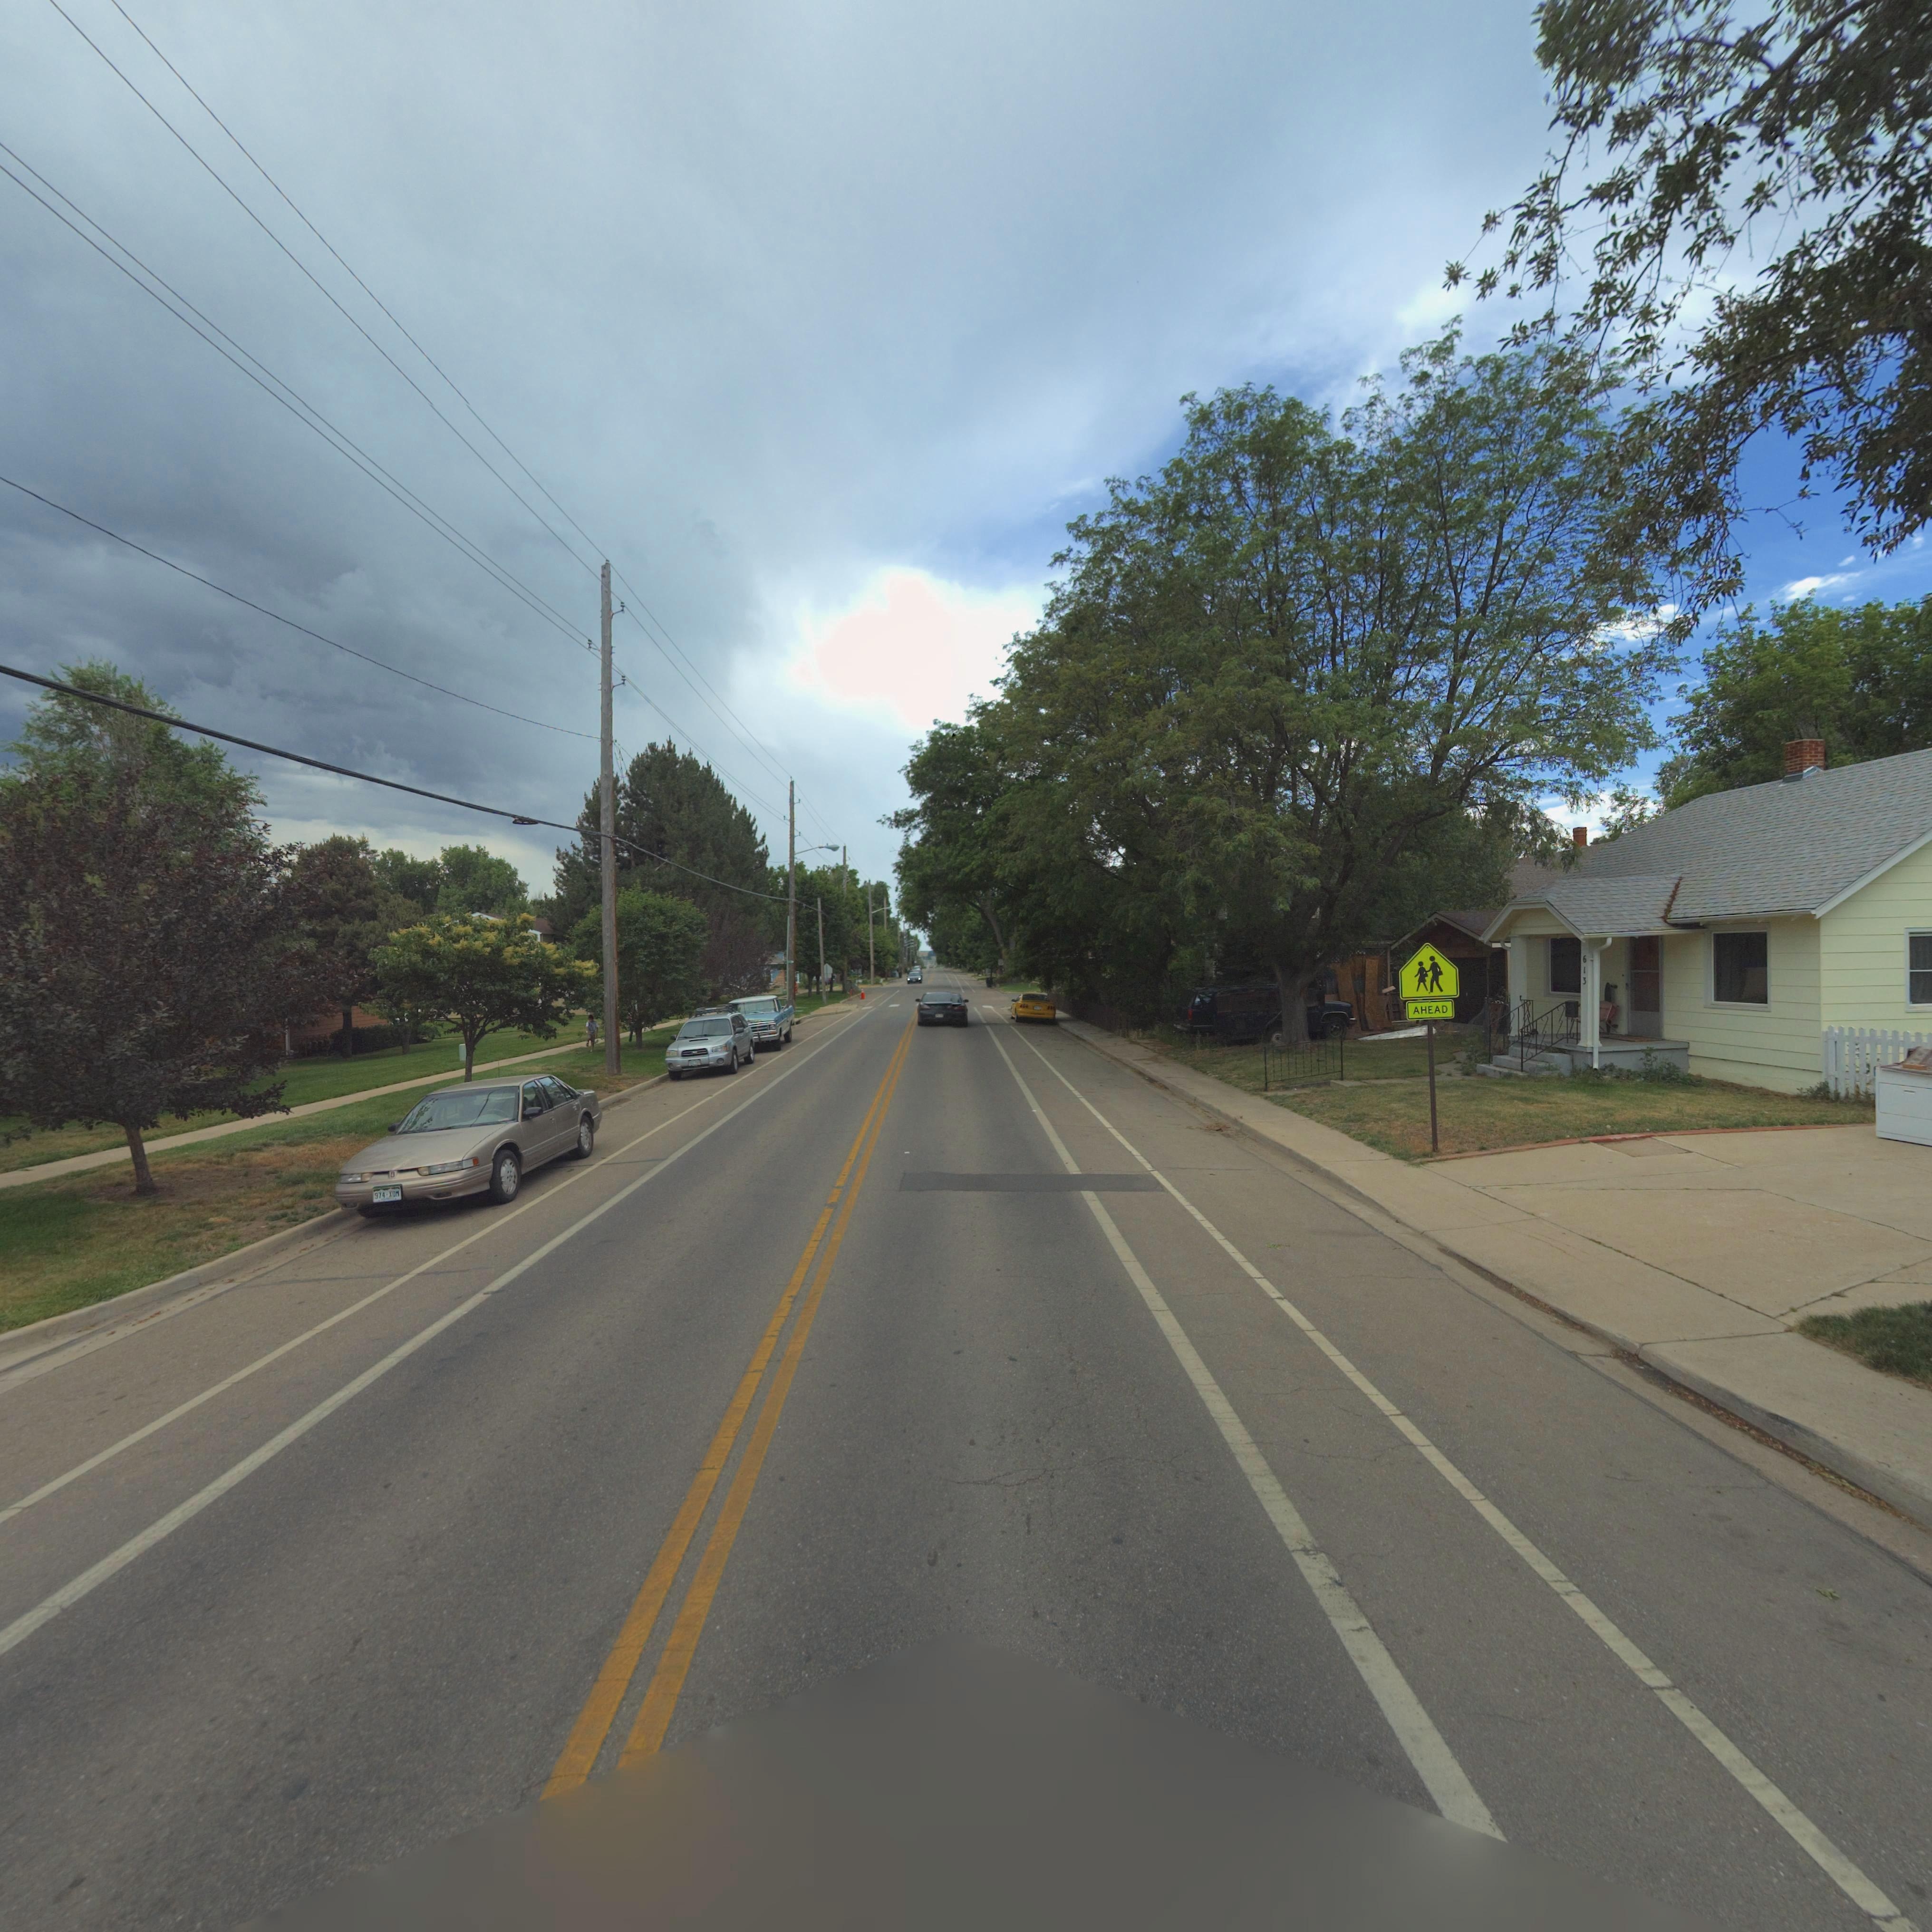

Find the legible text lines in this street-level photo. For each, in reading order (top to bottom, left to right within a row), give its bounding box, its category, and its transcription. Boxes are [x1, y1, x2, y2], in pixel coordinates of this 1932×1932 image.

[1582, 955, 1586, 985] StreetNumber: 613